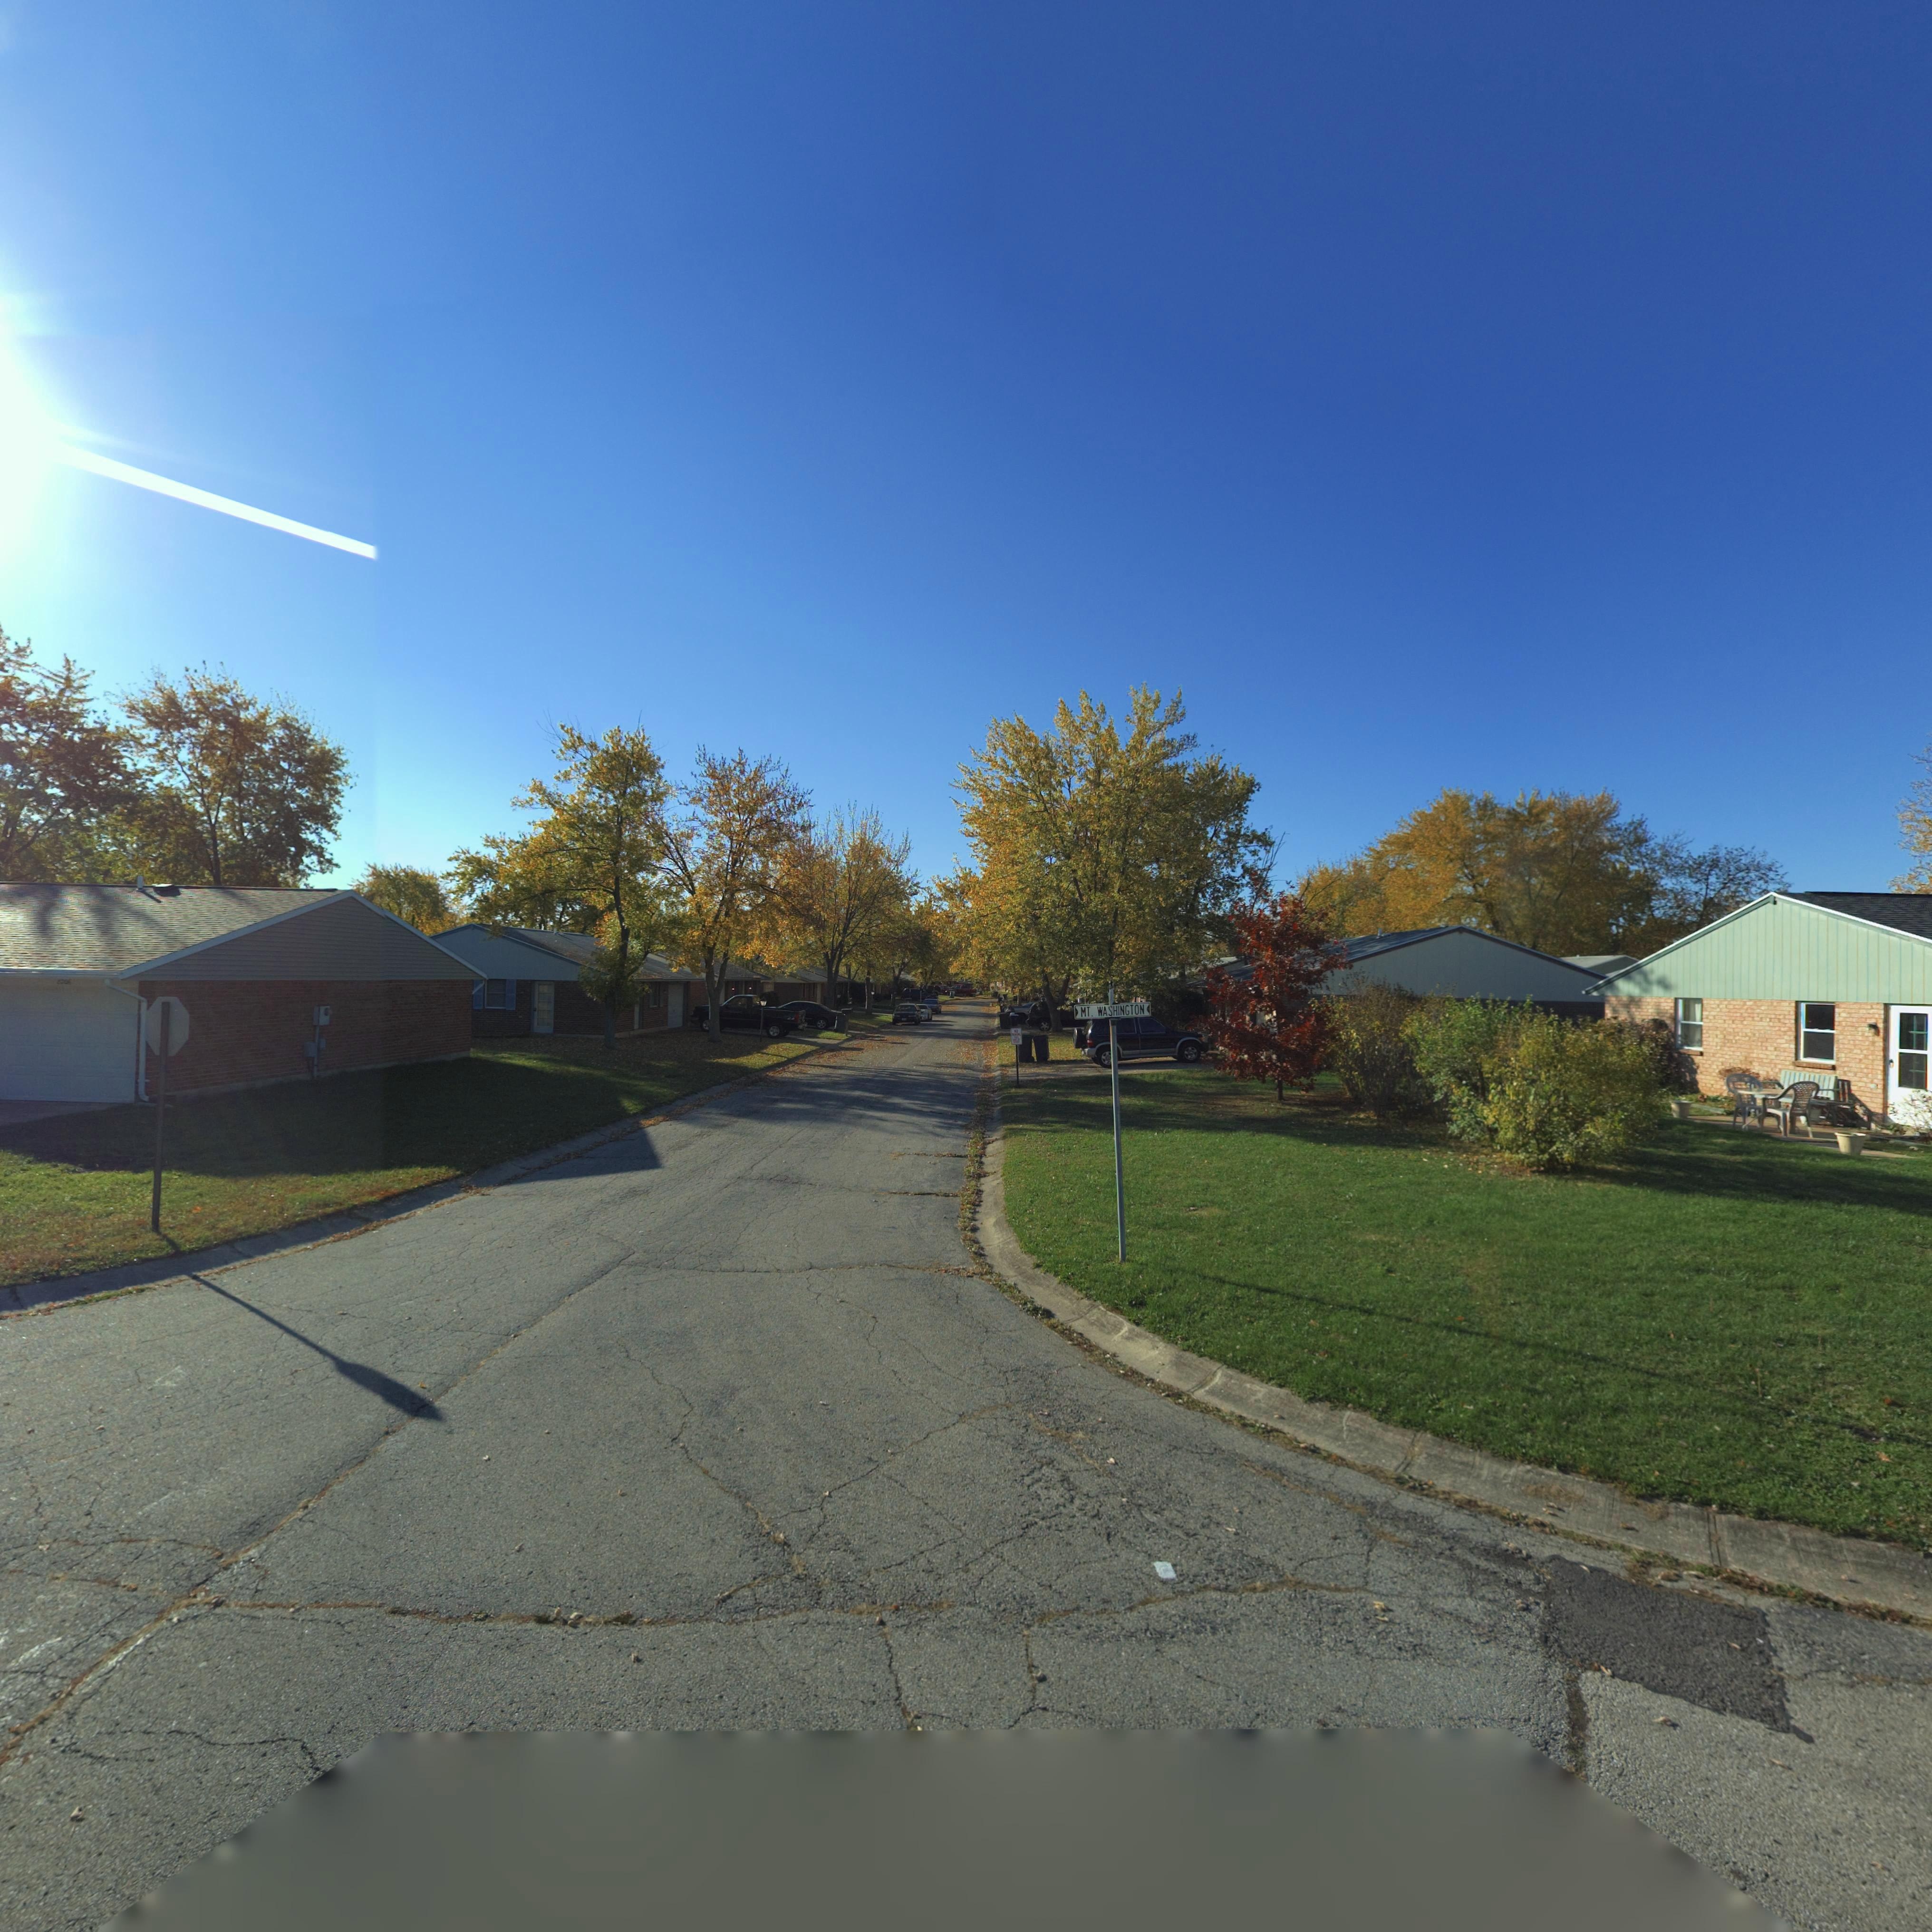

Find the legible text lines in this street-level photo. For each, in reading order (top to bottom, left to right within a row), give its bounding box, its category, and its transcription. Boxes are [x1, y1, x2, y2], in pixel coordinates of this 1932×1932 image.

[56, 978, 72, 985] StreetNumber: 8206